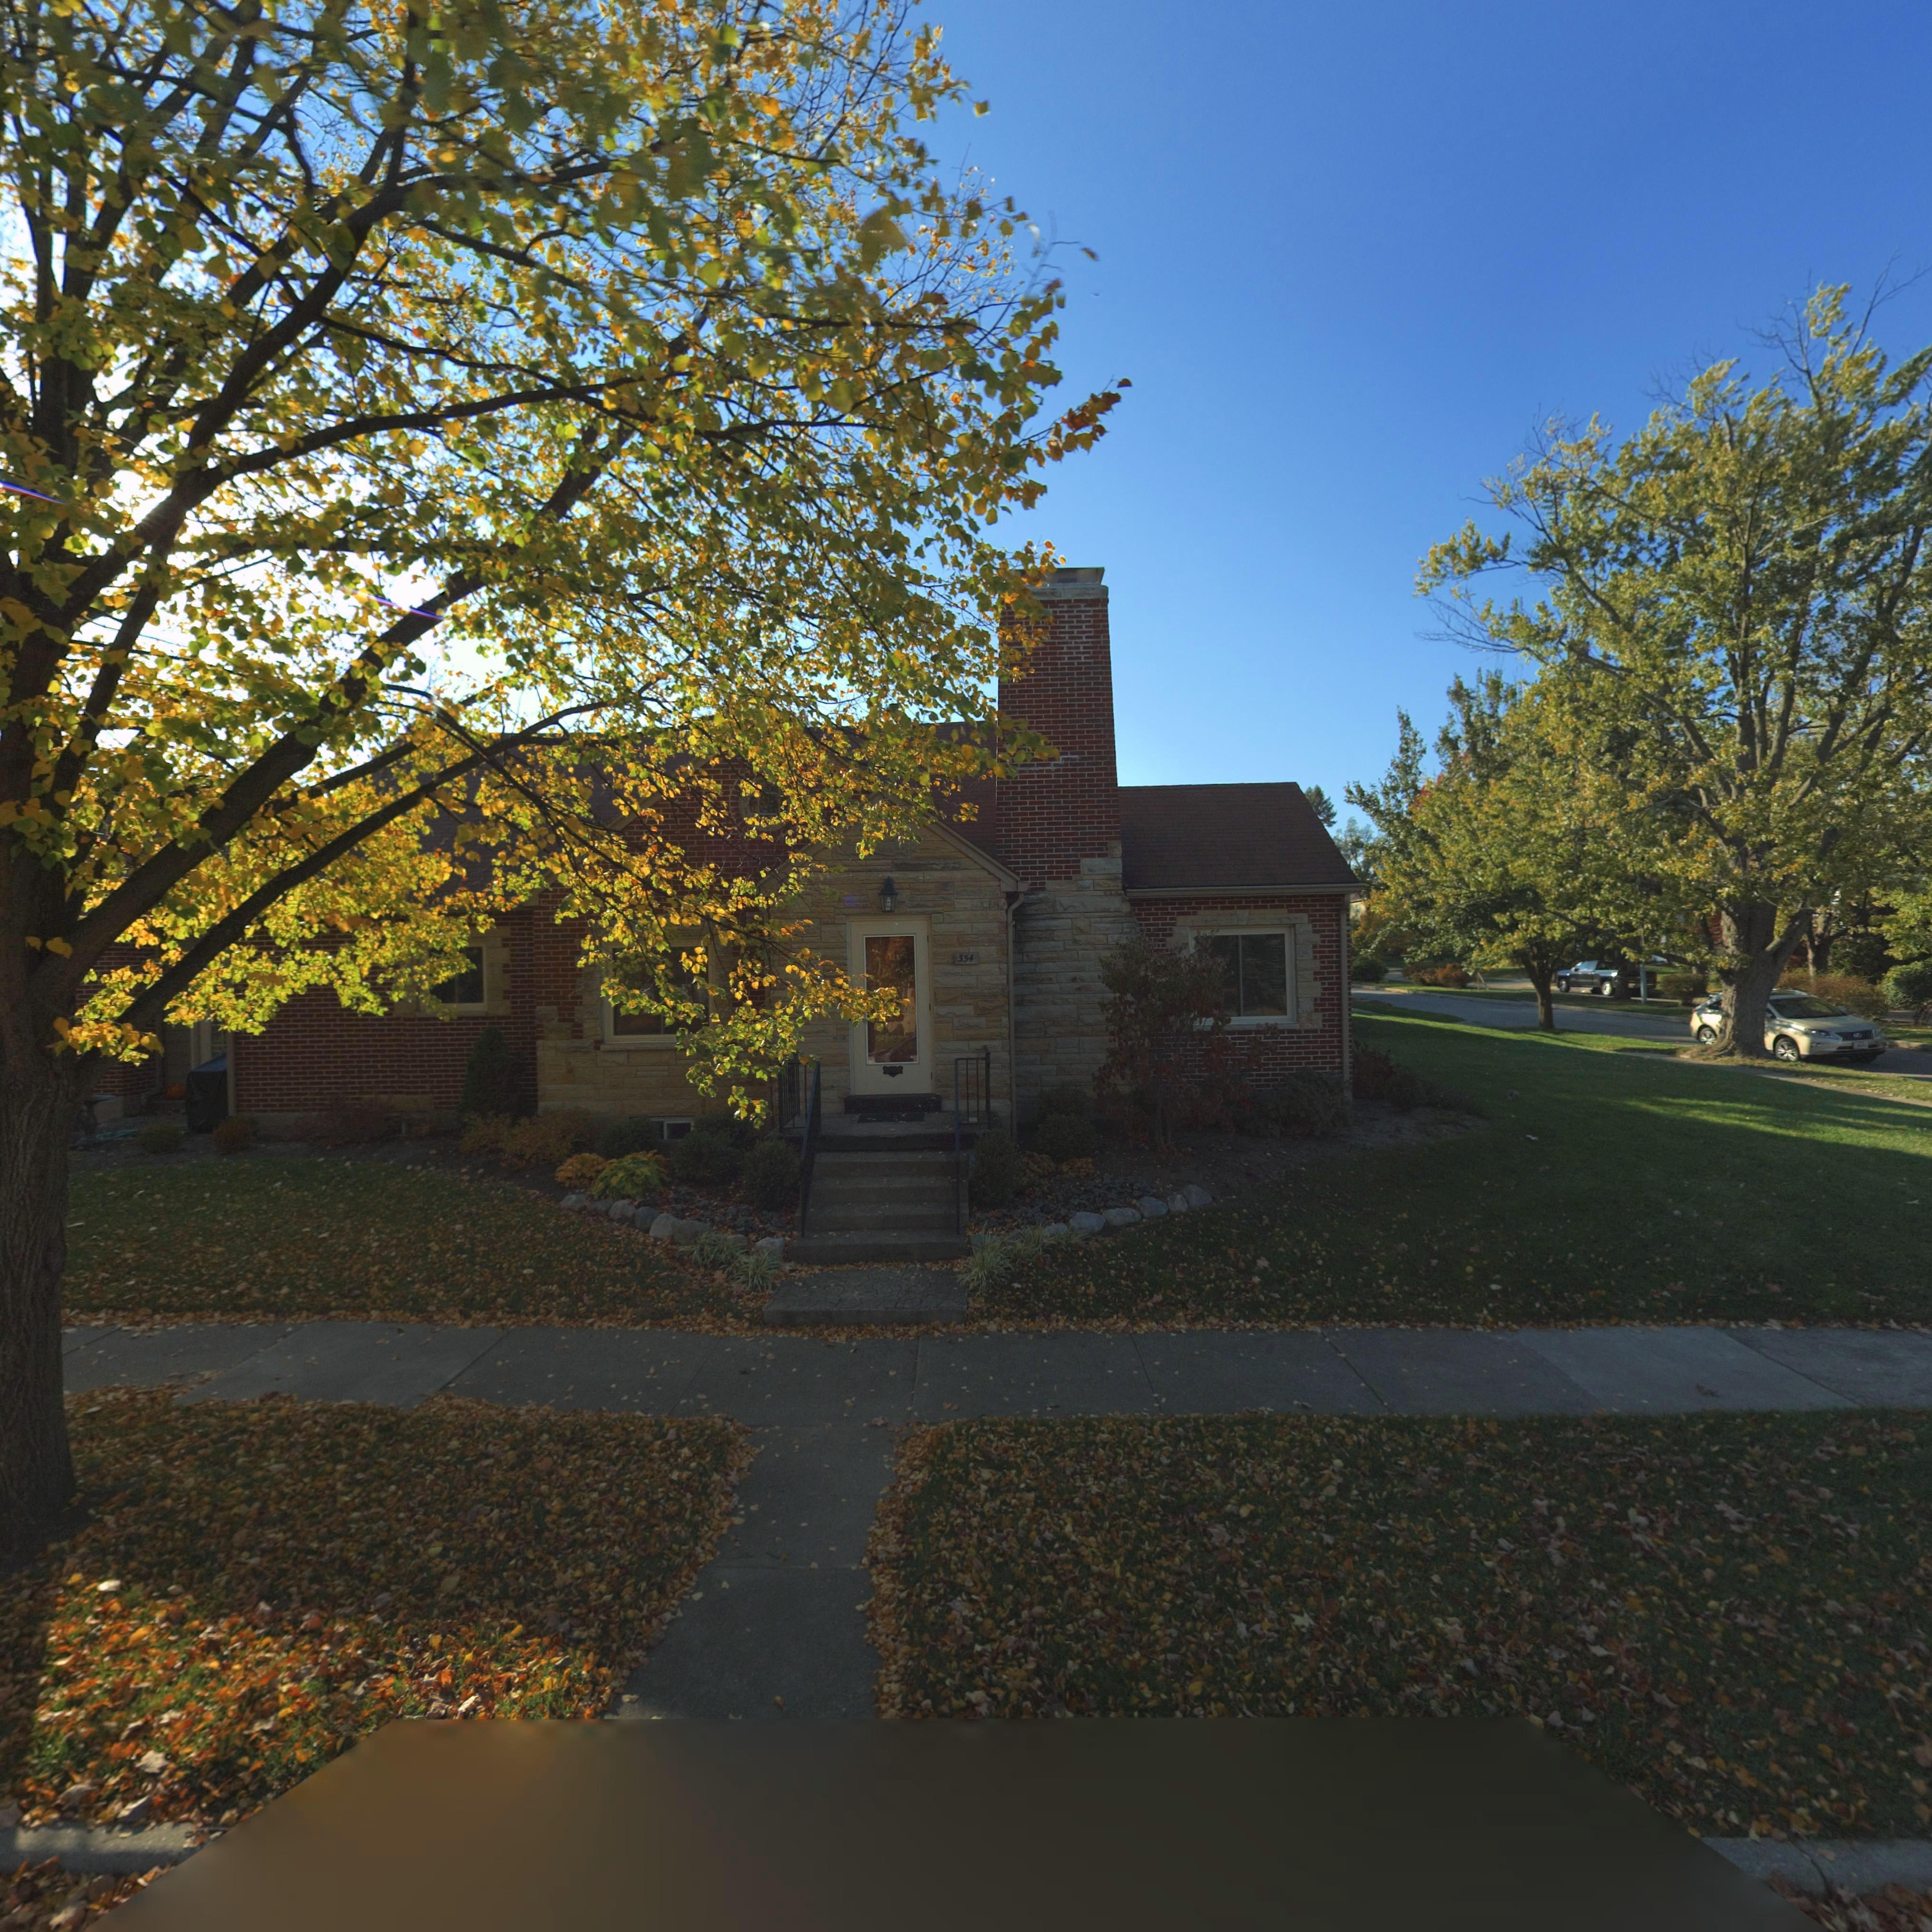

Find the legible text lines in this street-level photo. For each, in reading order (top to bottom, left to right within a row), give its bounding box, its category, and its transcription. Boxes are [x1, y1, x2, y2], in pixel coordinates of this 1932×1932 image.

[956, 954, 975, 963] StreetNumber: 354